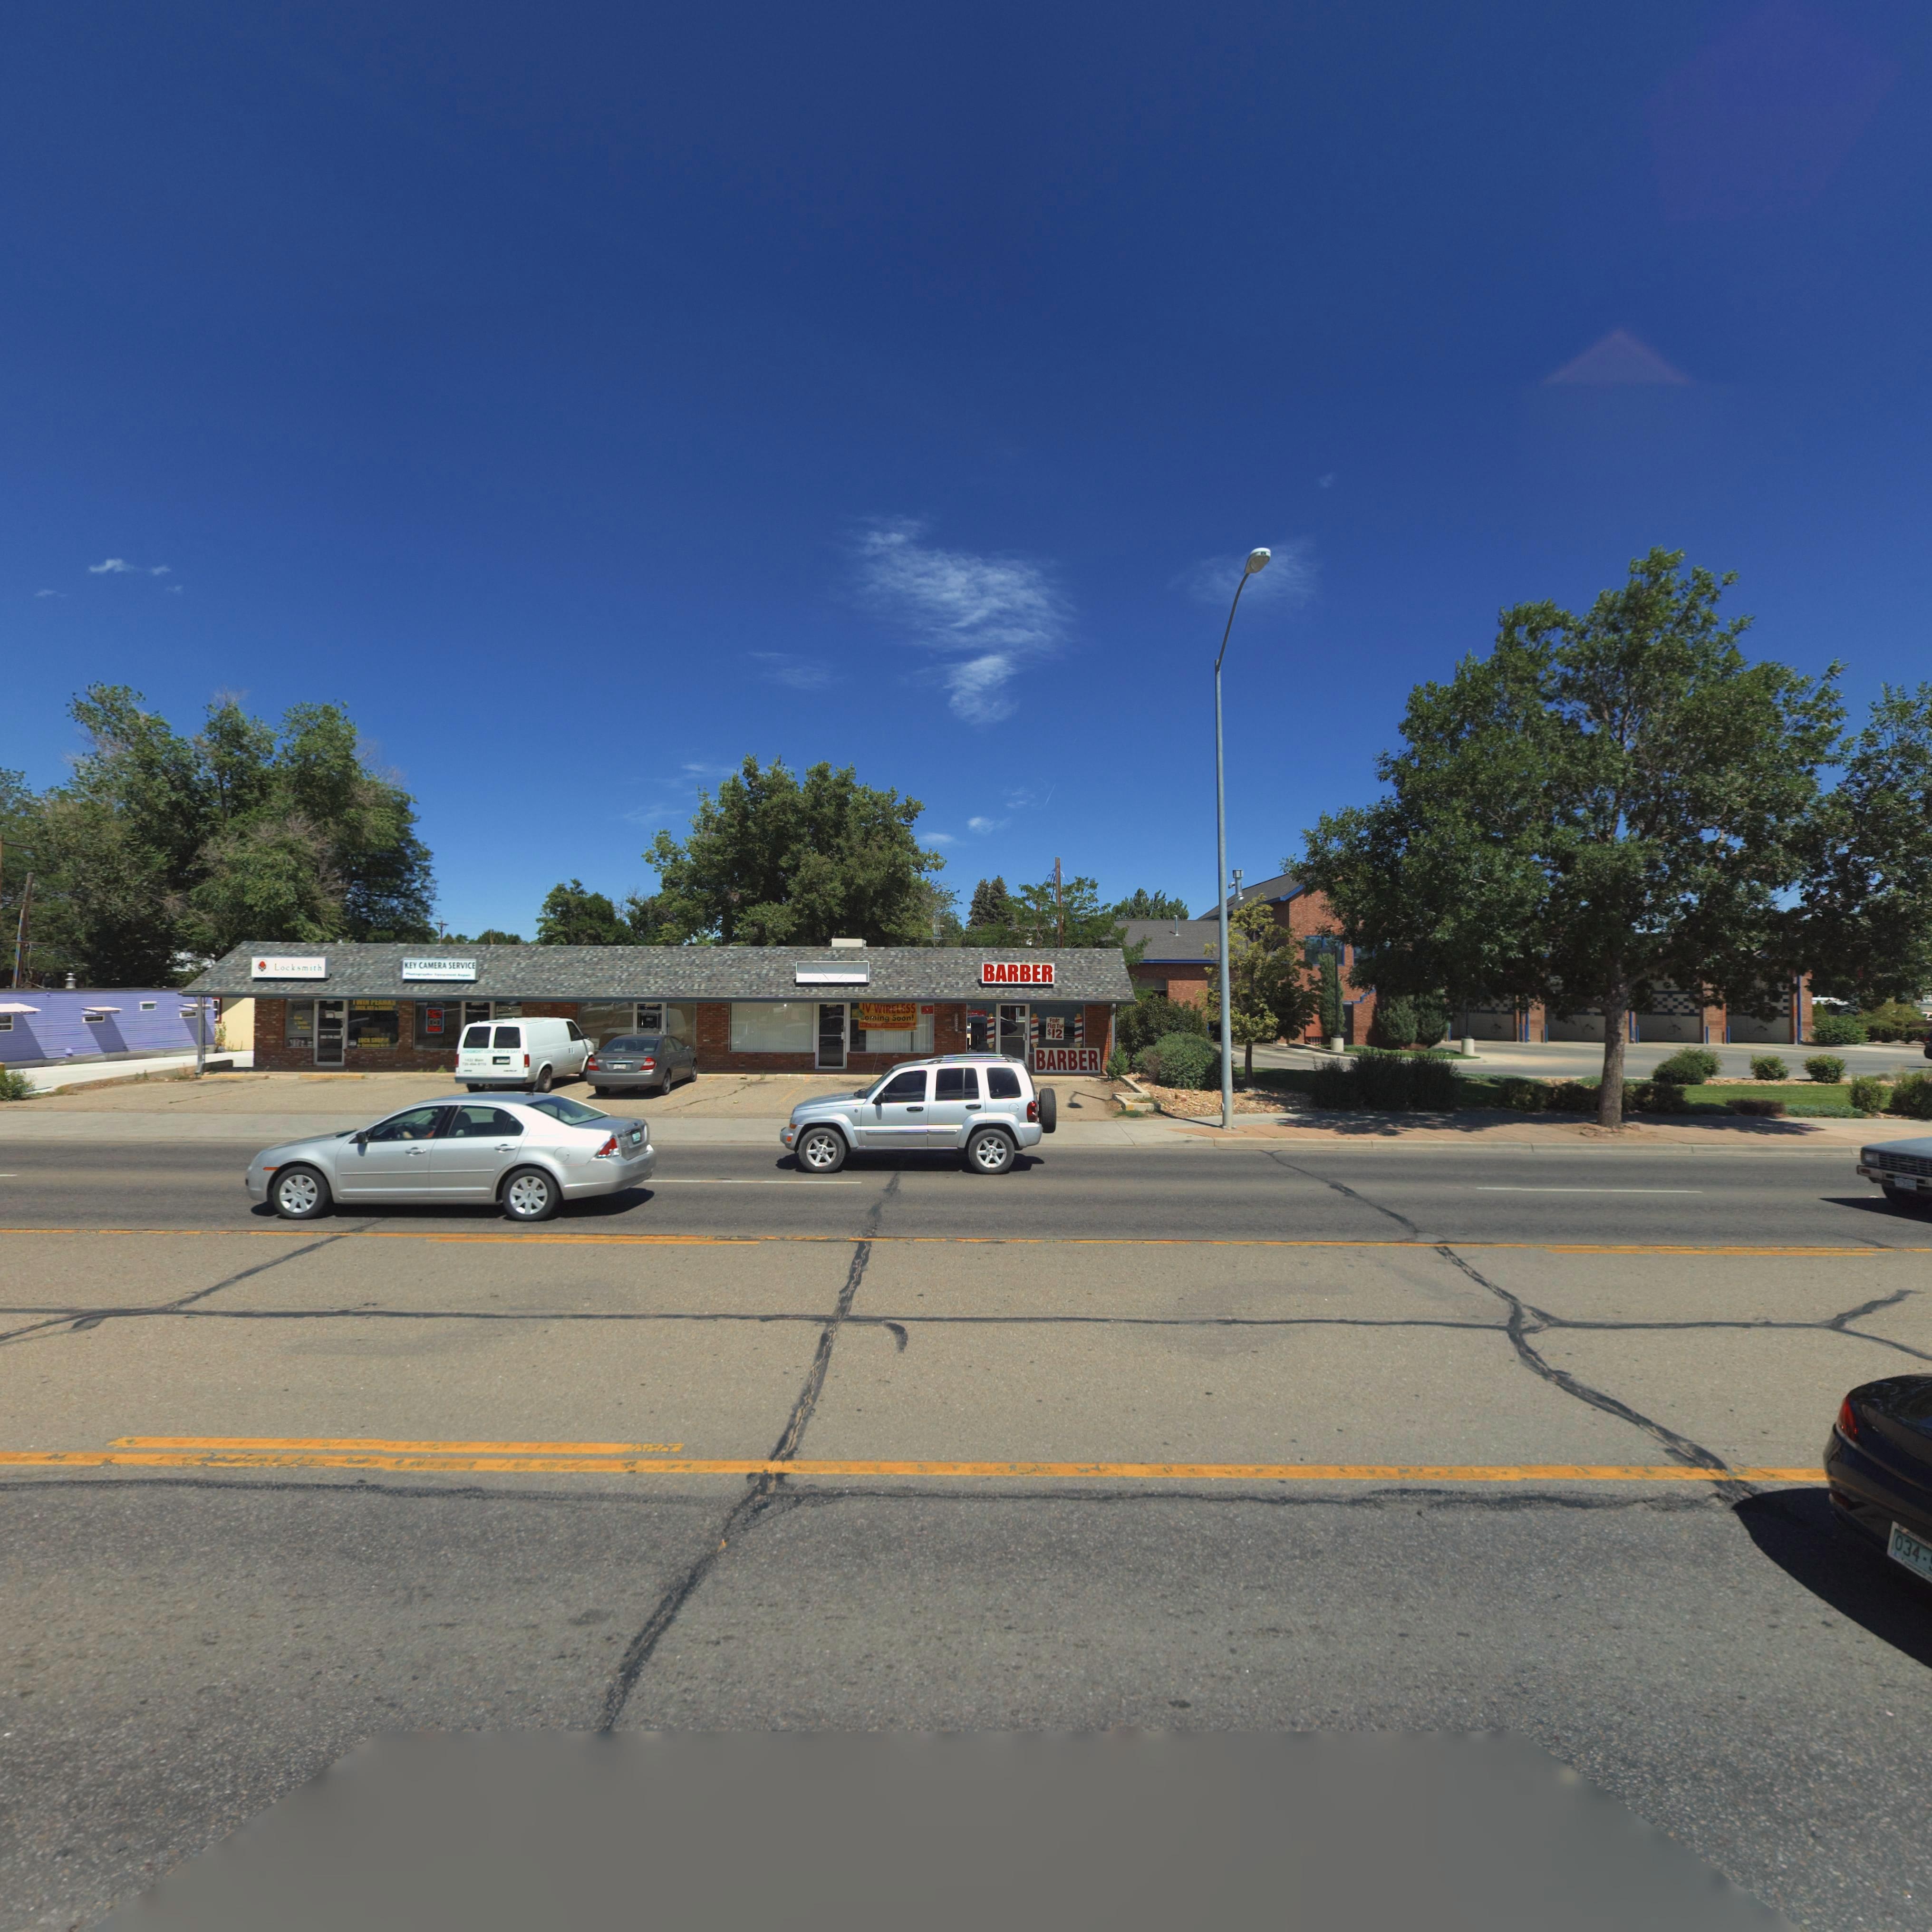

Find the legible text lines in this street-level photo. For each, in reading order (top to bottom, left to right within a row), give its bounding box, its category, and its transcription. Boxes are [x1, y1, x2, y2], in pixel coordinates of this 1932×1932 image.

[405, 962, 476, 969] BusinessName: KEY CAMERA SERVICE
[353, 999, 396, 1005] BusinessName: *WIN PEA**S